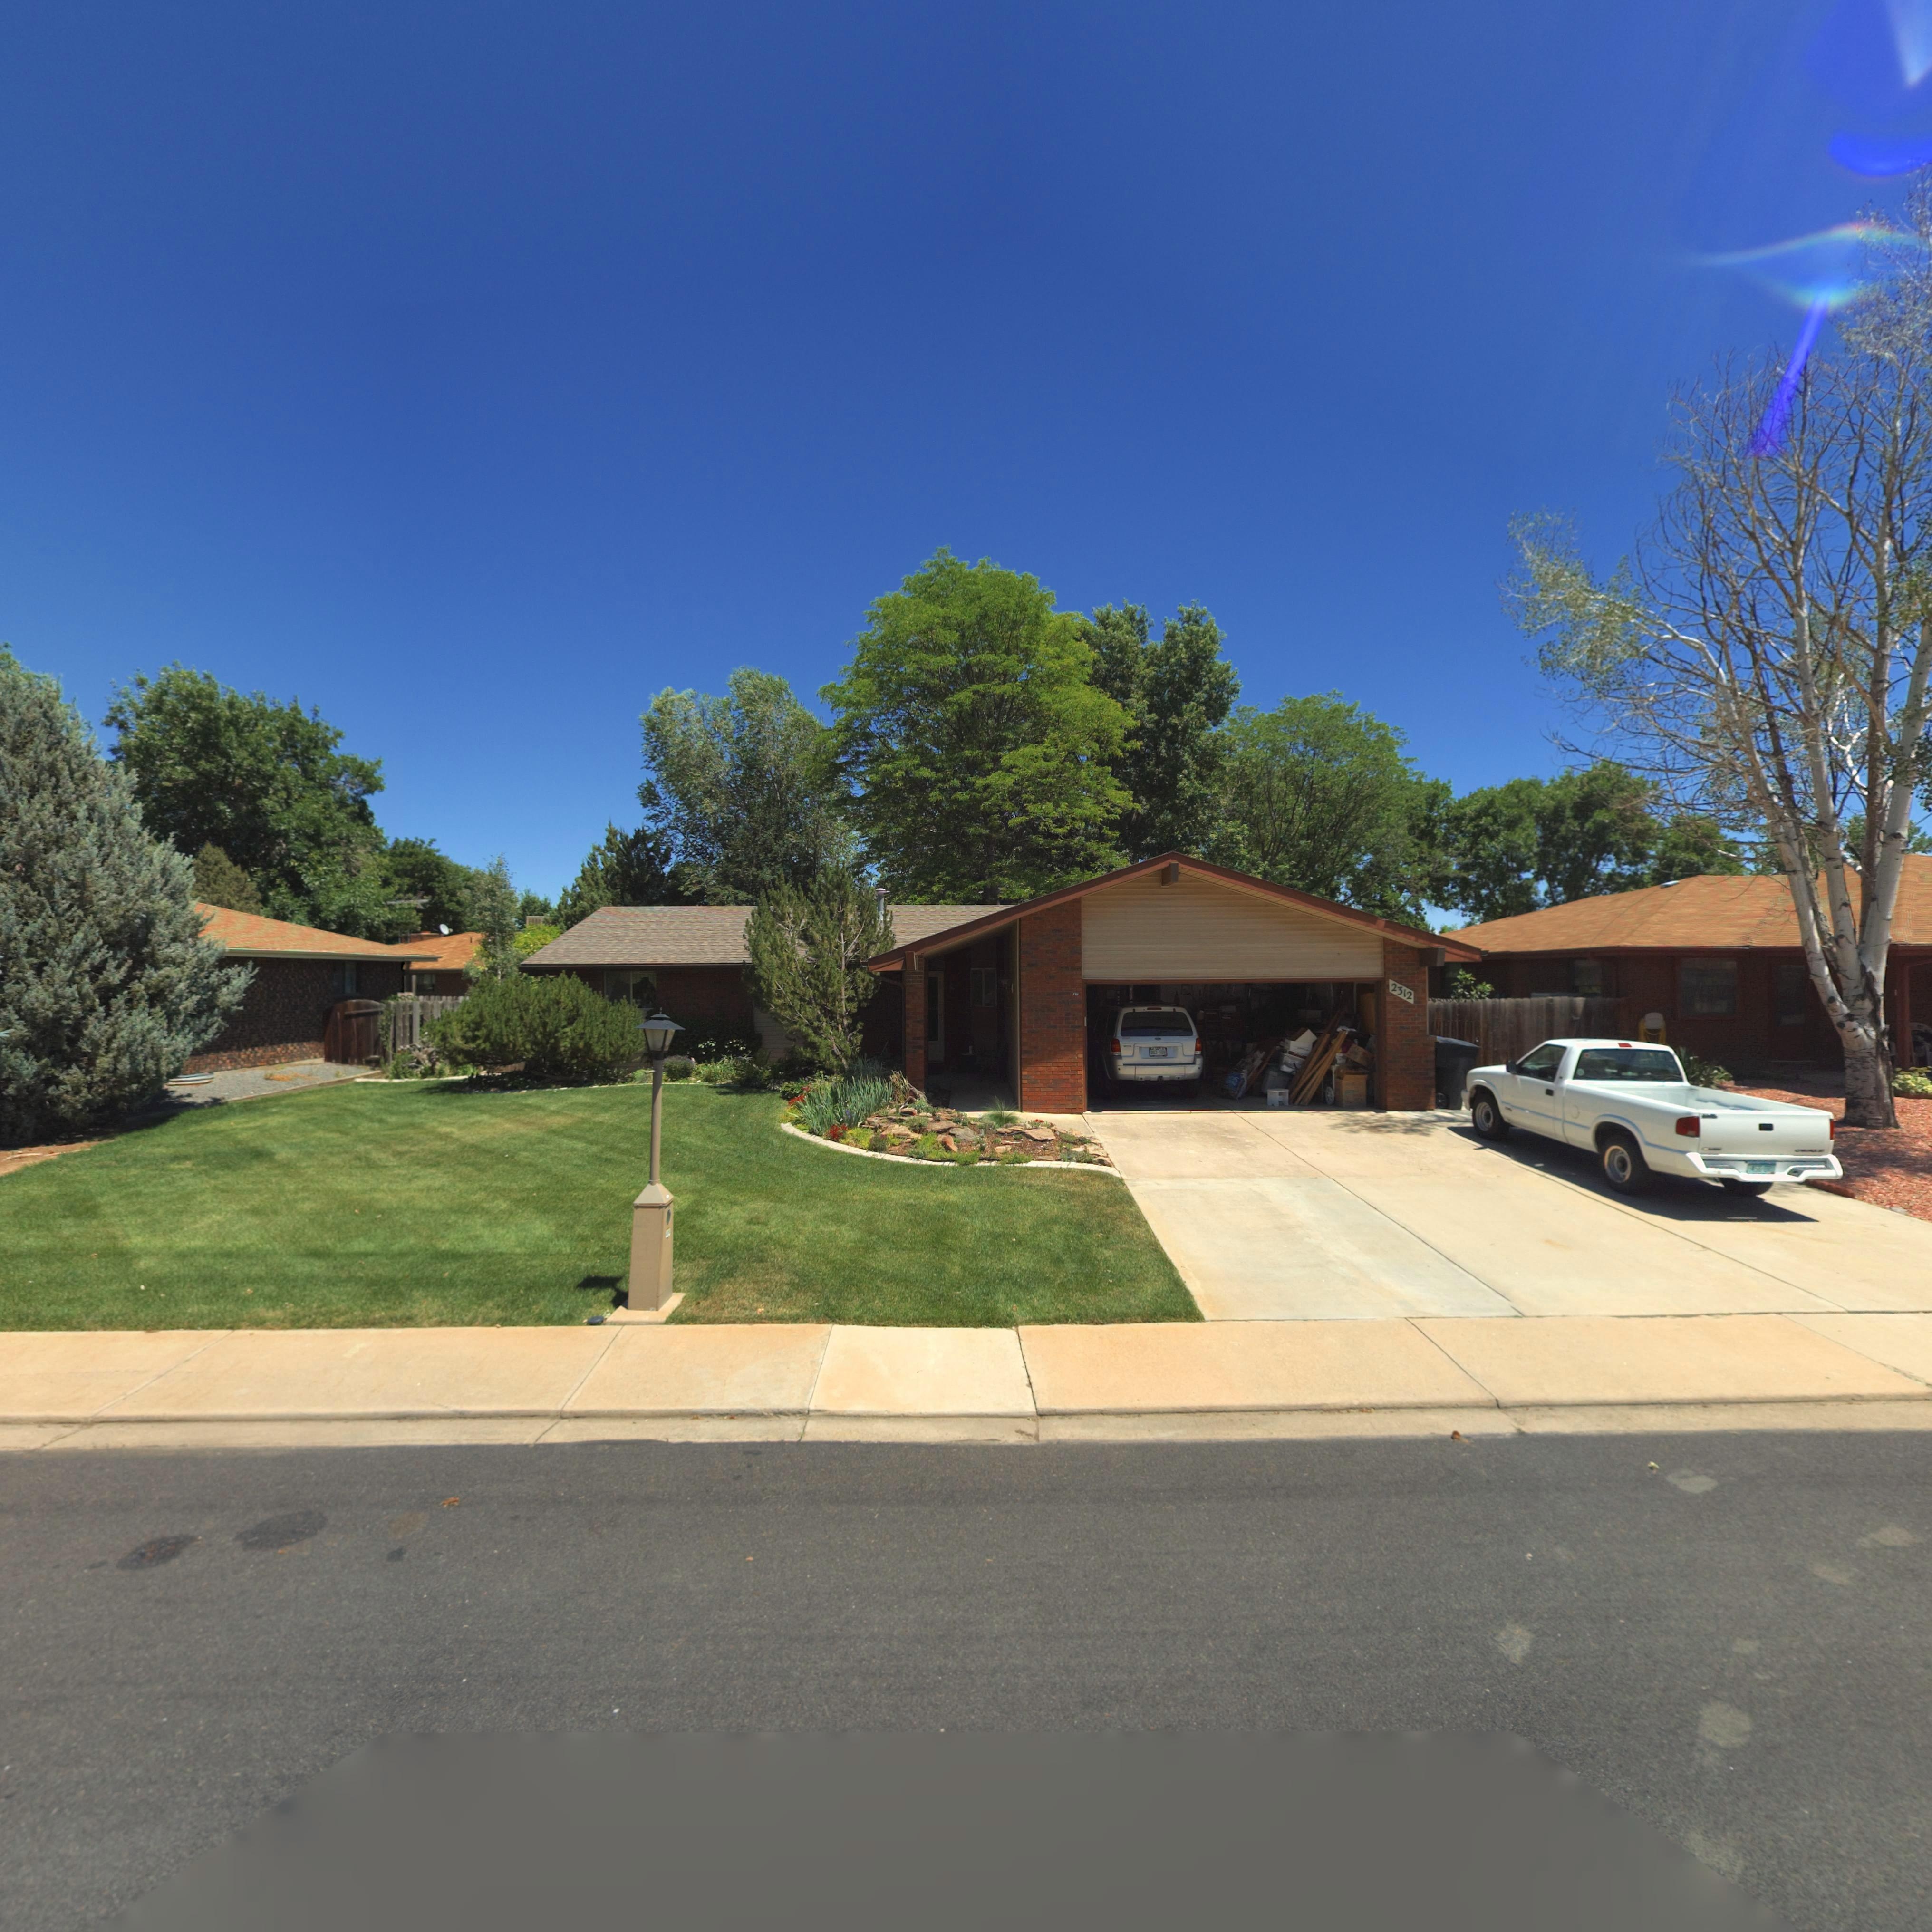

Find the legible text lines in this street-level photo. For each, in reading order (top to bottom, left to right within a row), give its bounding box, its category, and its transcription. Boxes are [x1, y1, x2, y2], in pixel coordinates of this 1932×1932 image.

[1391, 982, 1412, 1000] StreetNumber: 2312